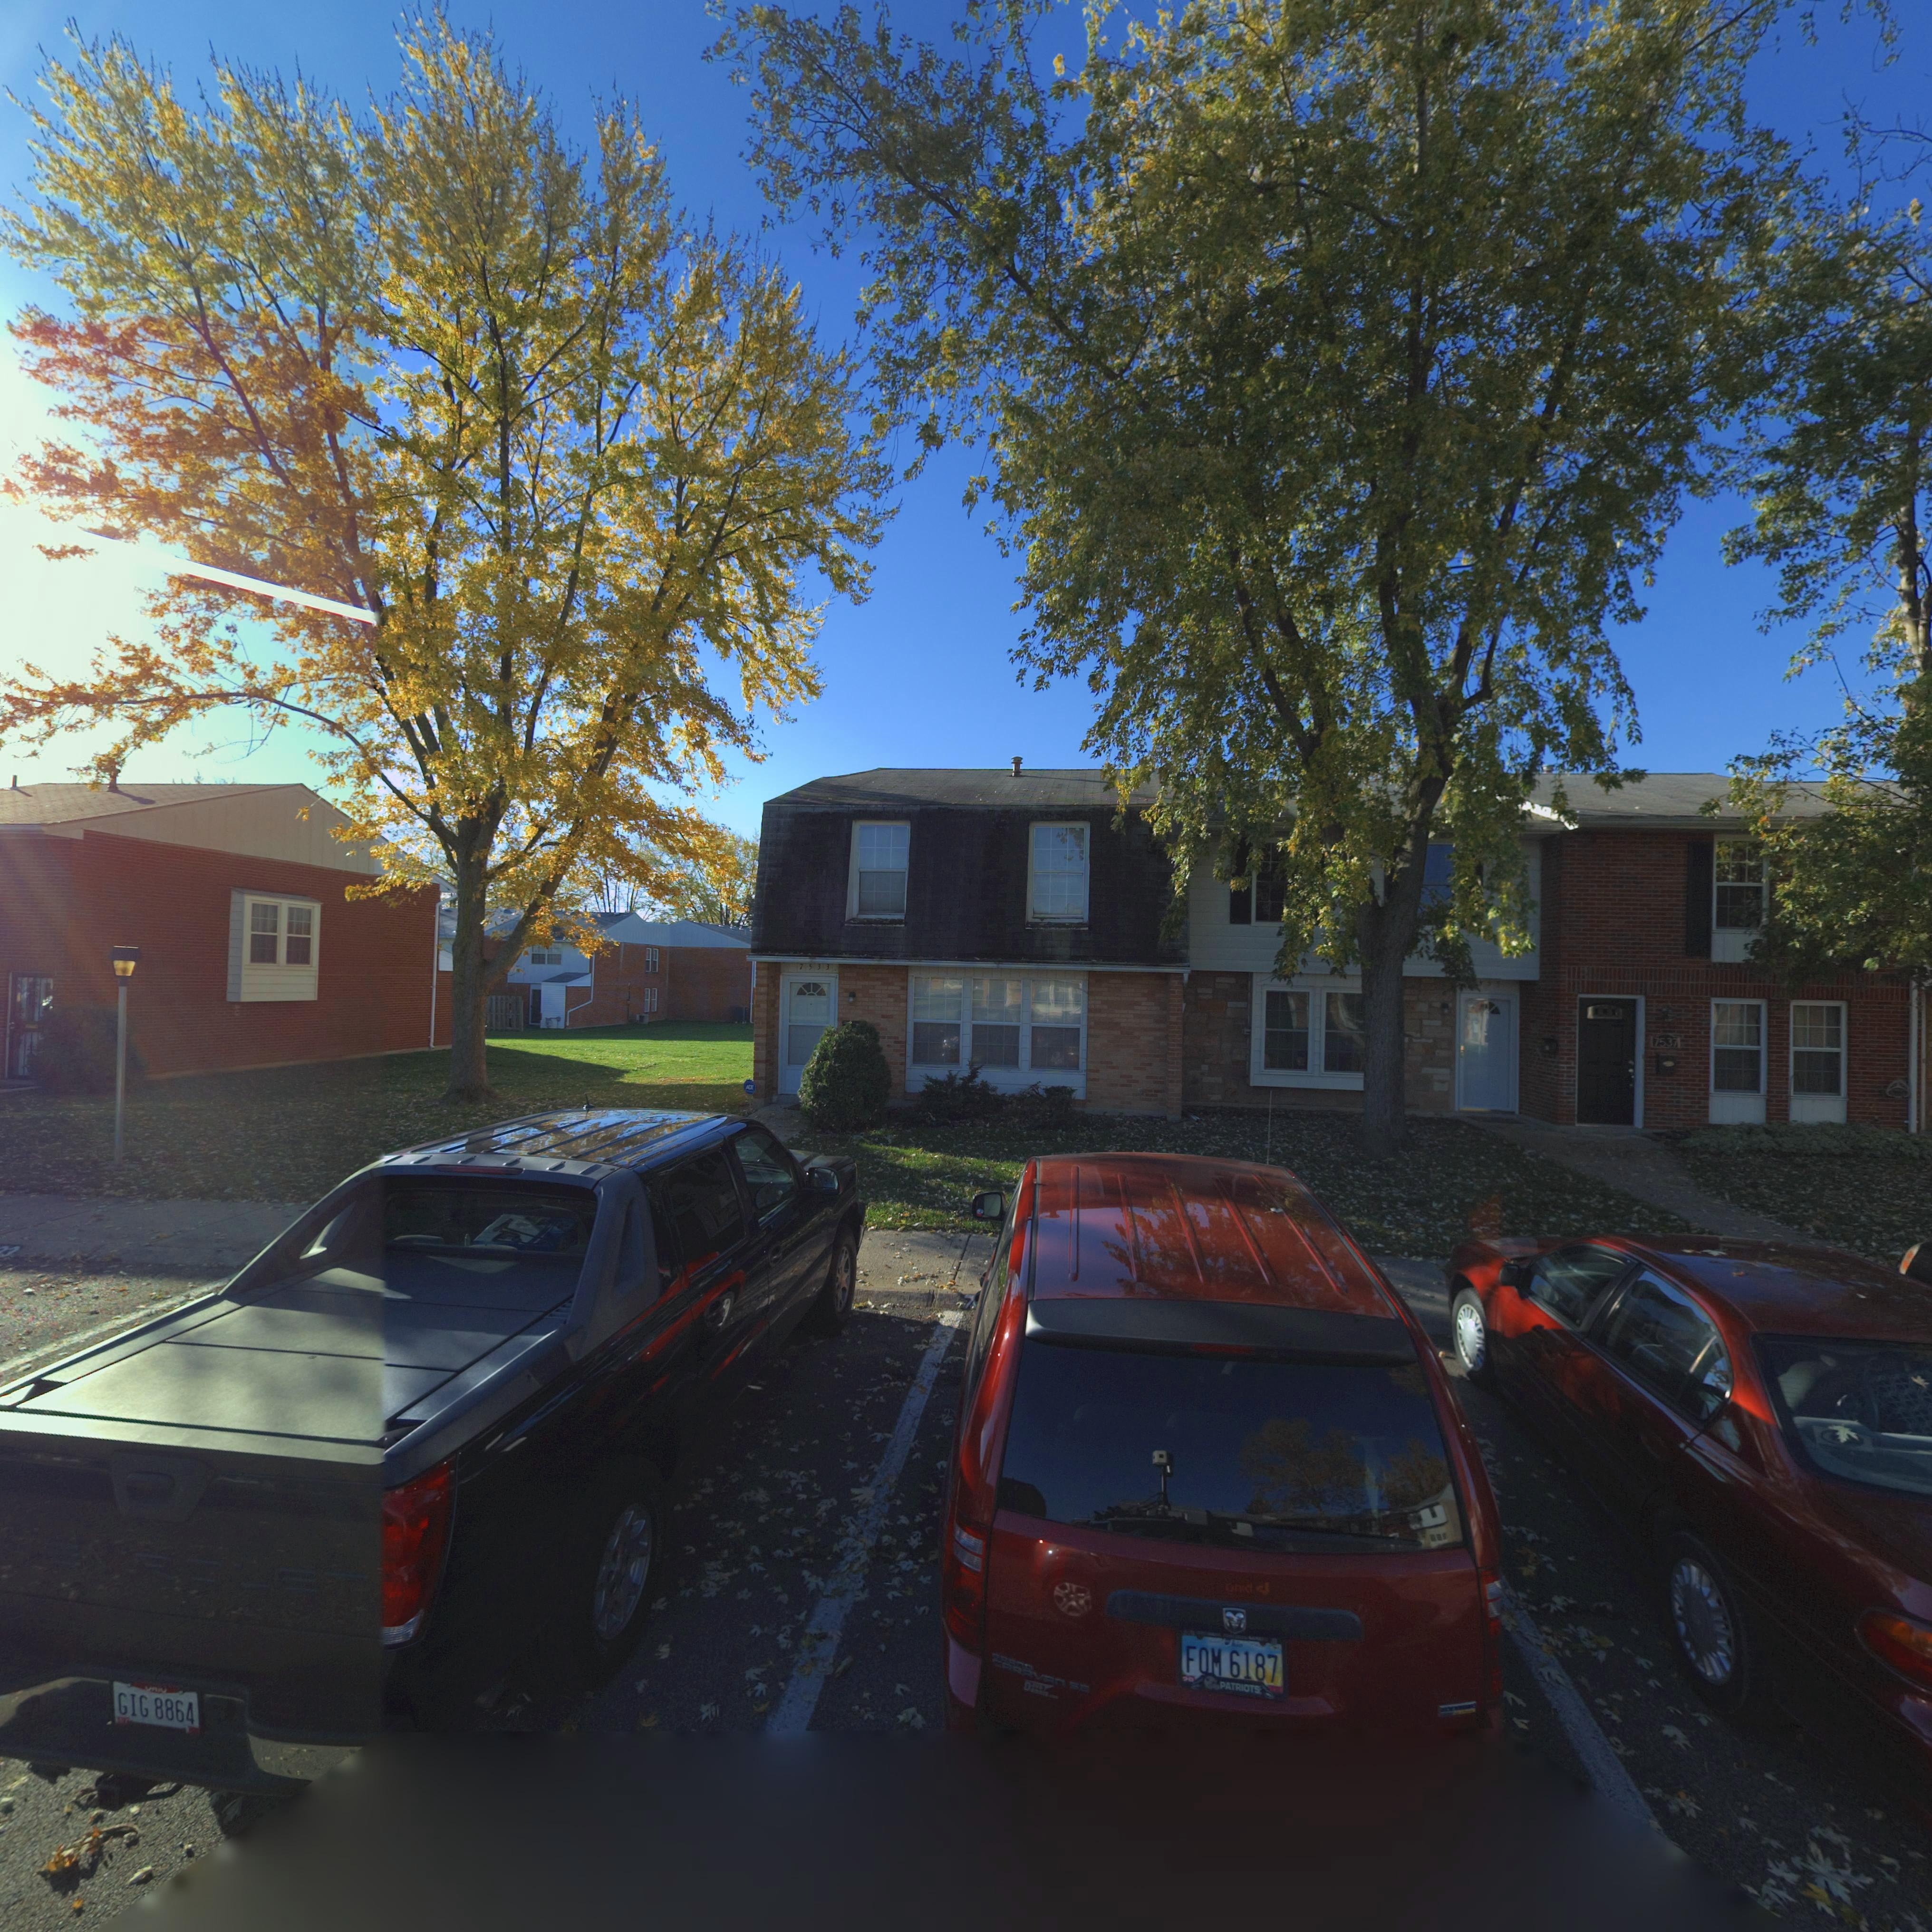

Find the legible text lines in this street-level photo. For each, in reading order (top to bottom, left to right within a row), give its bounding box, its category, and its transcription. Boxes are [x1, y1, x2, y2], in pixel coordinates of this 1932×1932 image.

[799, 963, 830, 971] StreetNumber: 7533
[1477, 979, 1502, 988] StreetNumber: 535
[1652, 1036, 1680, 1049] StreetNumber: 7537